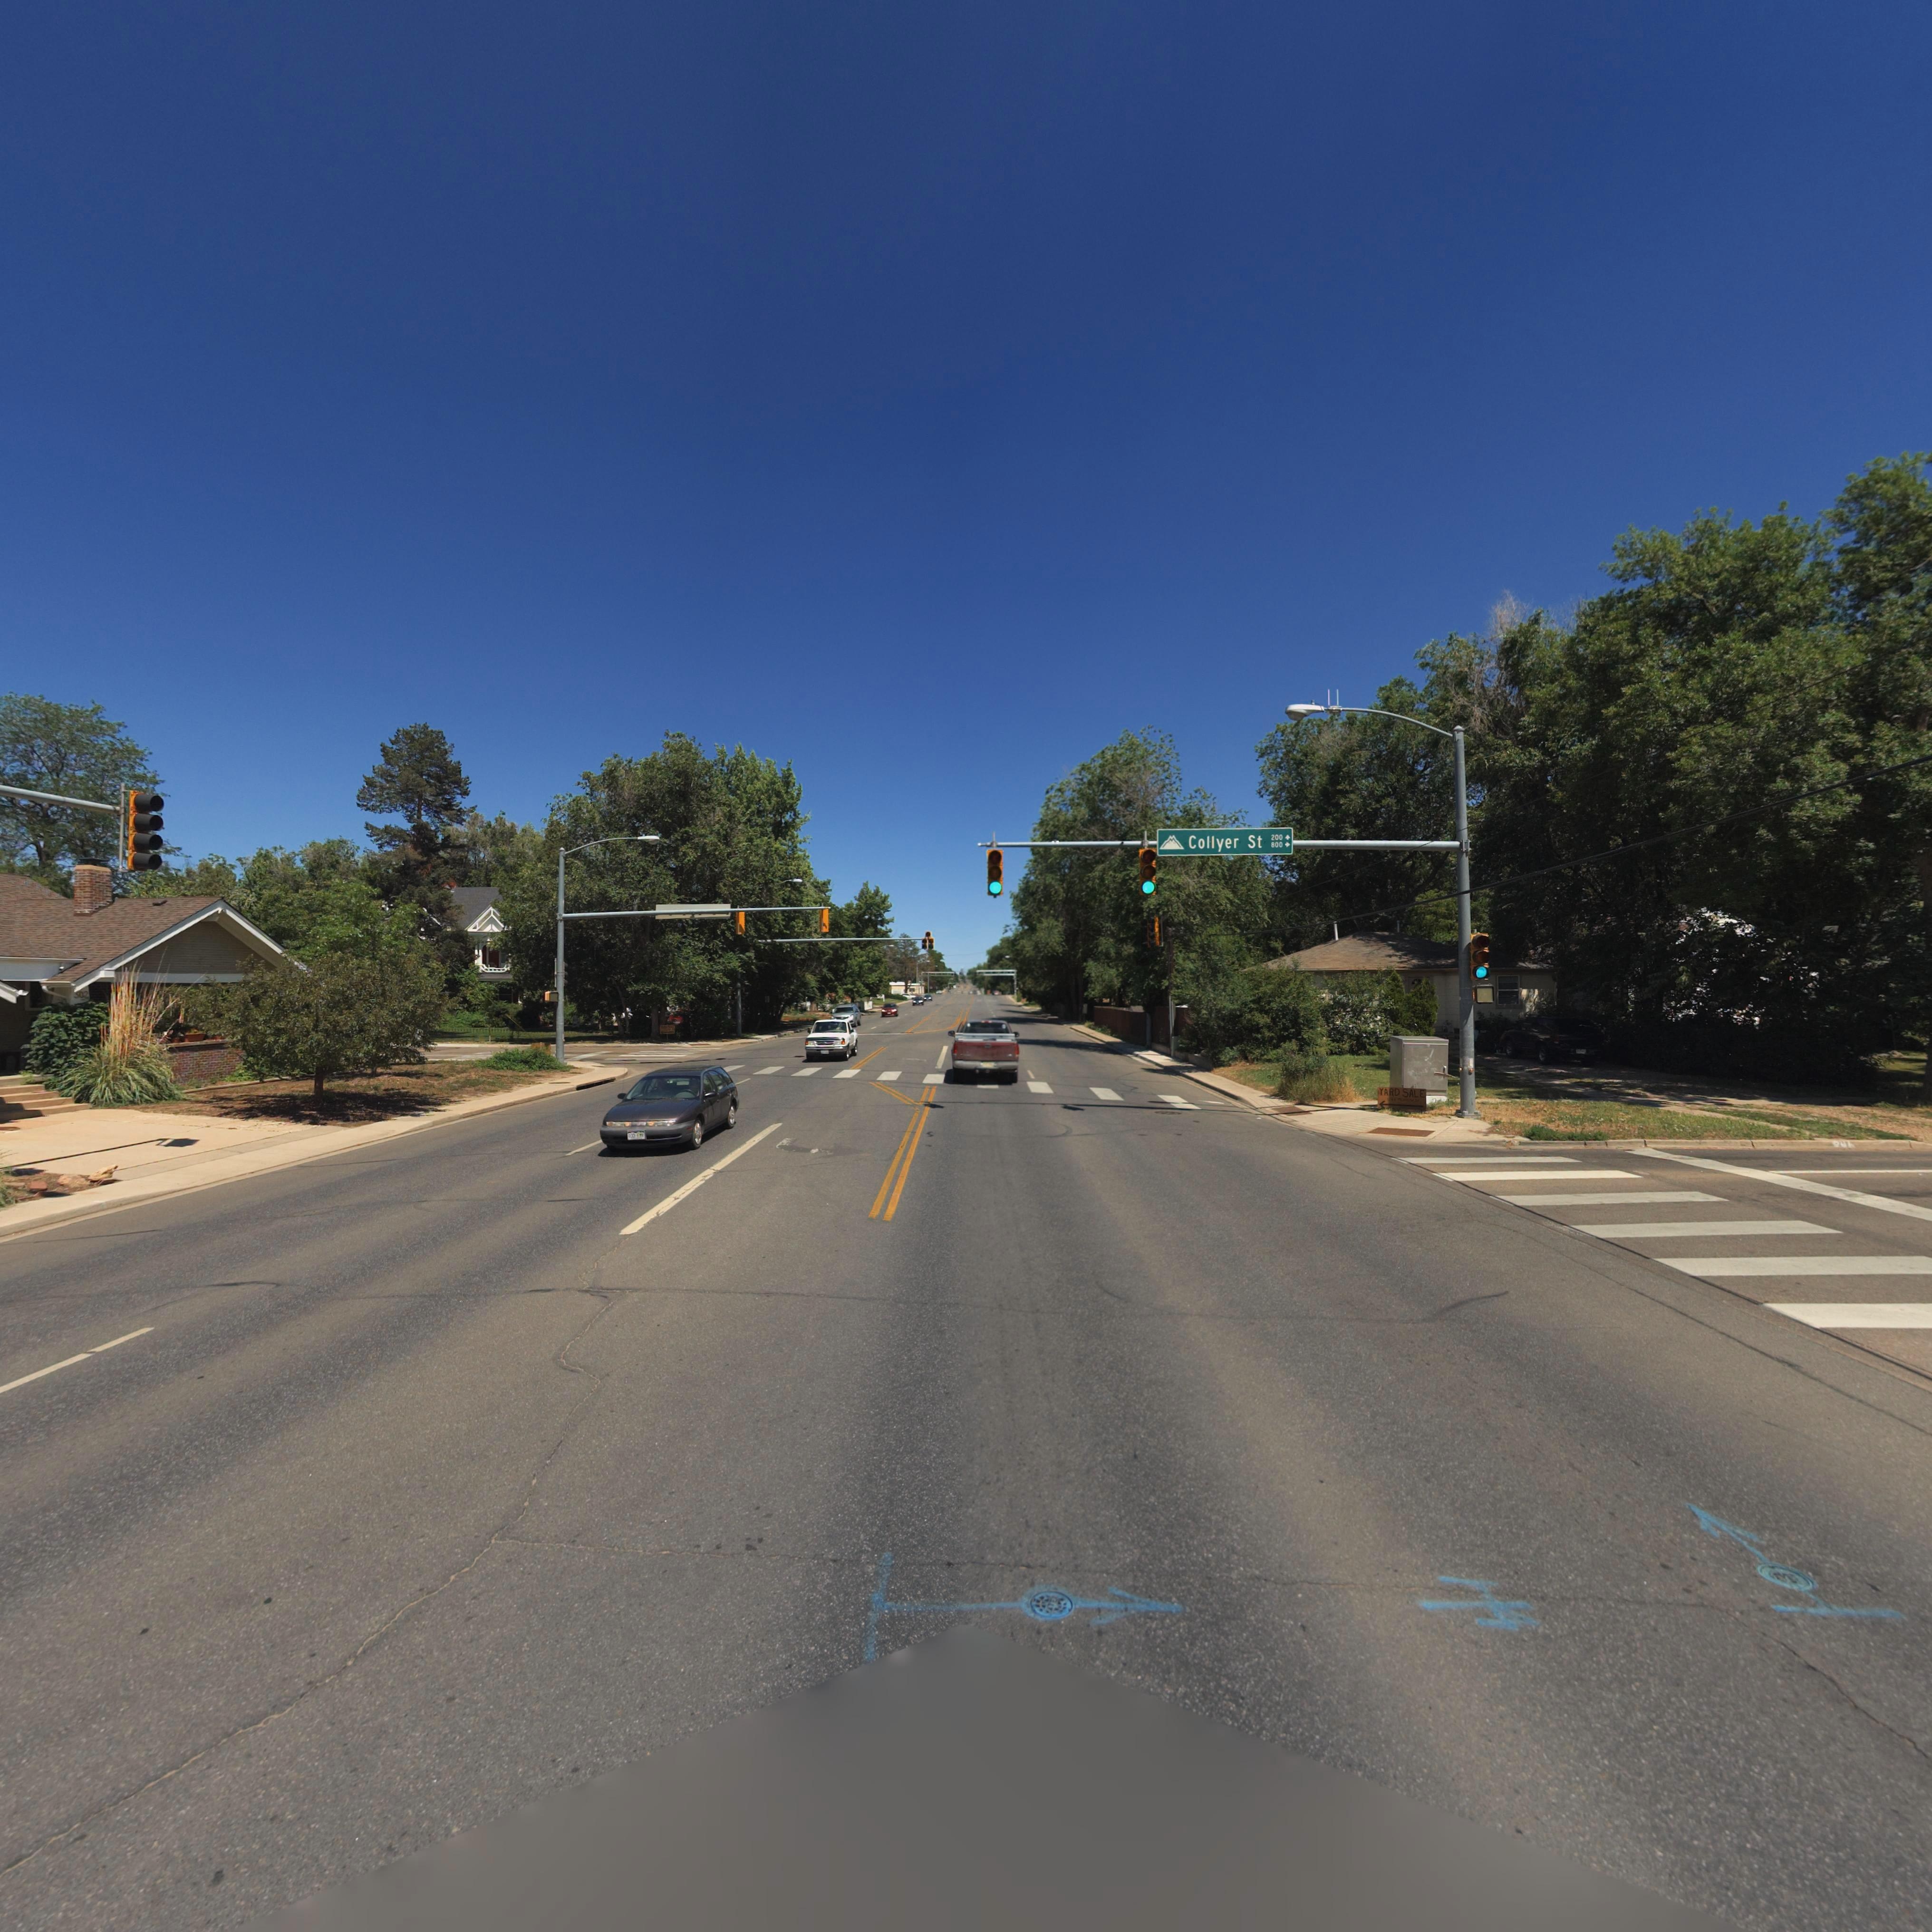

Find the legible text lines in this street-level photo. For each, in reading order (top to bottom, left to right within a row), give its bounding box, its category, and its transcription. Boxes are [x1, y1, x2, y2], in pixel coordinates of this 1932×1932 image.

[1271, 834, 1282, 840] StreetNumberRange: 200
[1188, 835, 1262, 852] StreetName: Collyer St
[1271, 841, 1290, 848] StreetNumberRange: 800->
[73, 990, 89, 998] StreetNumber: *02